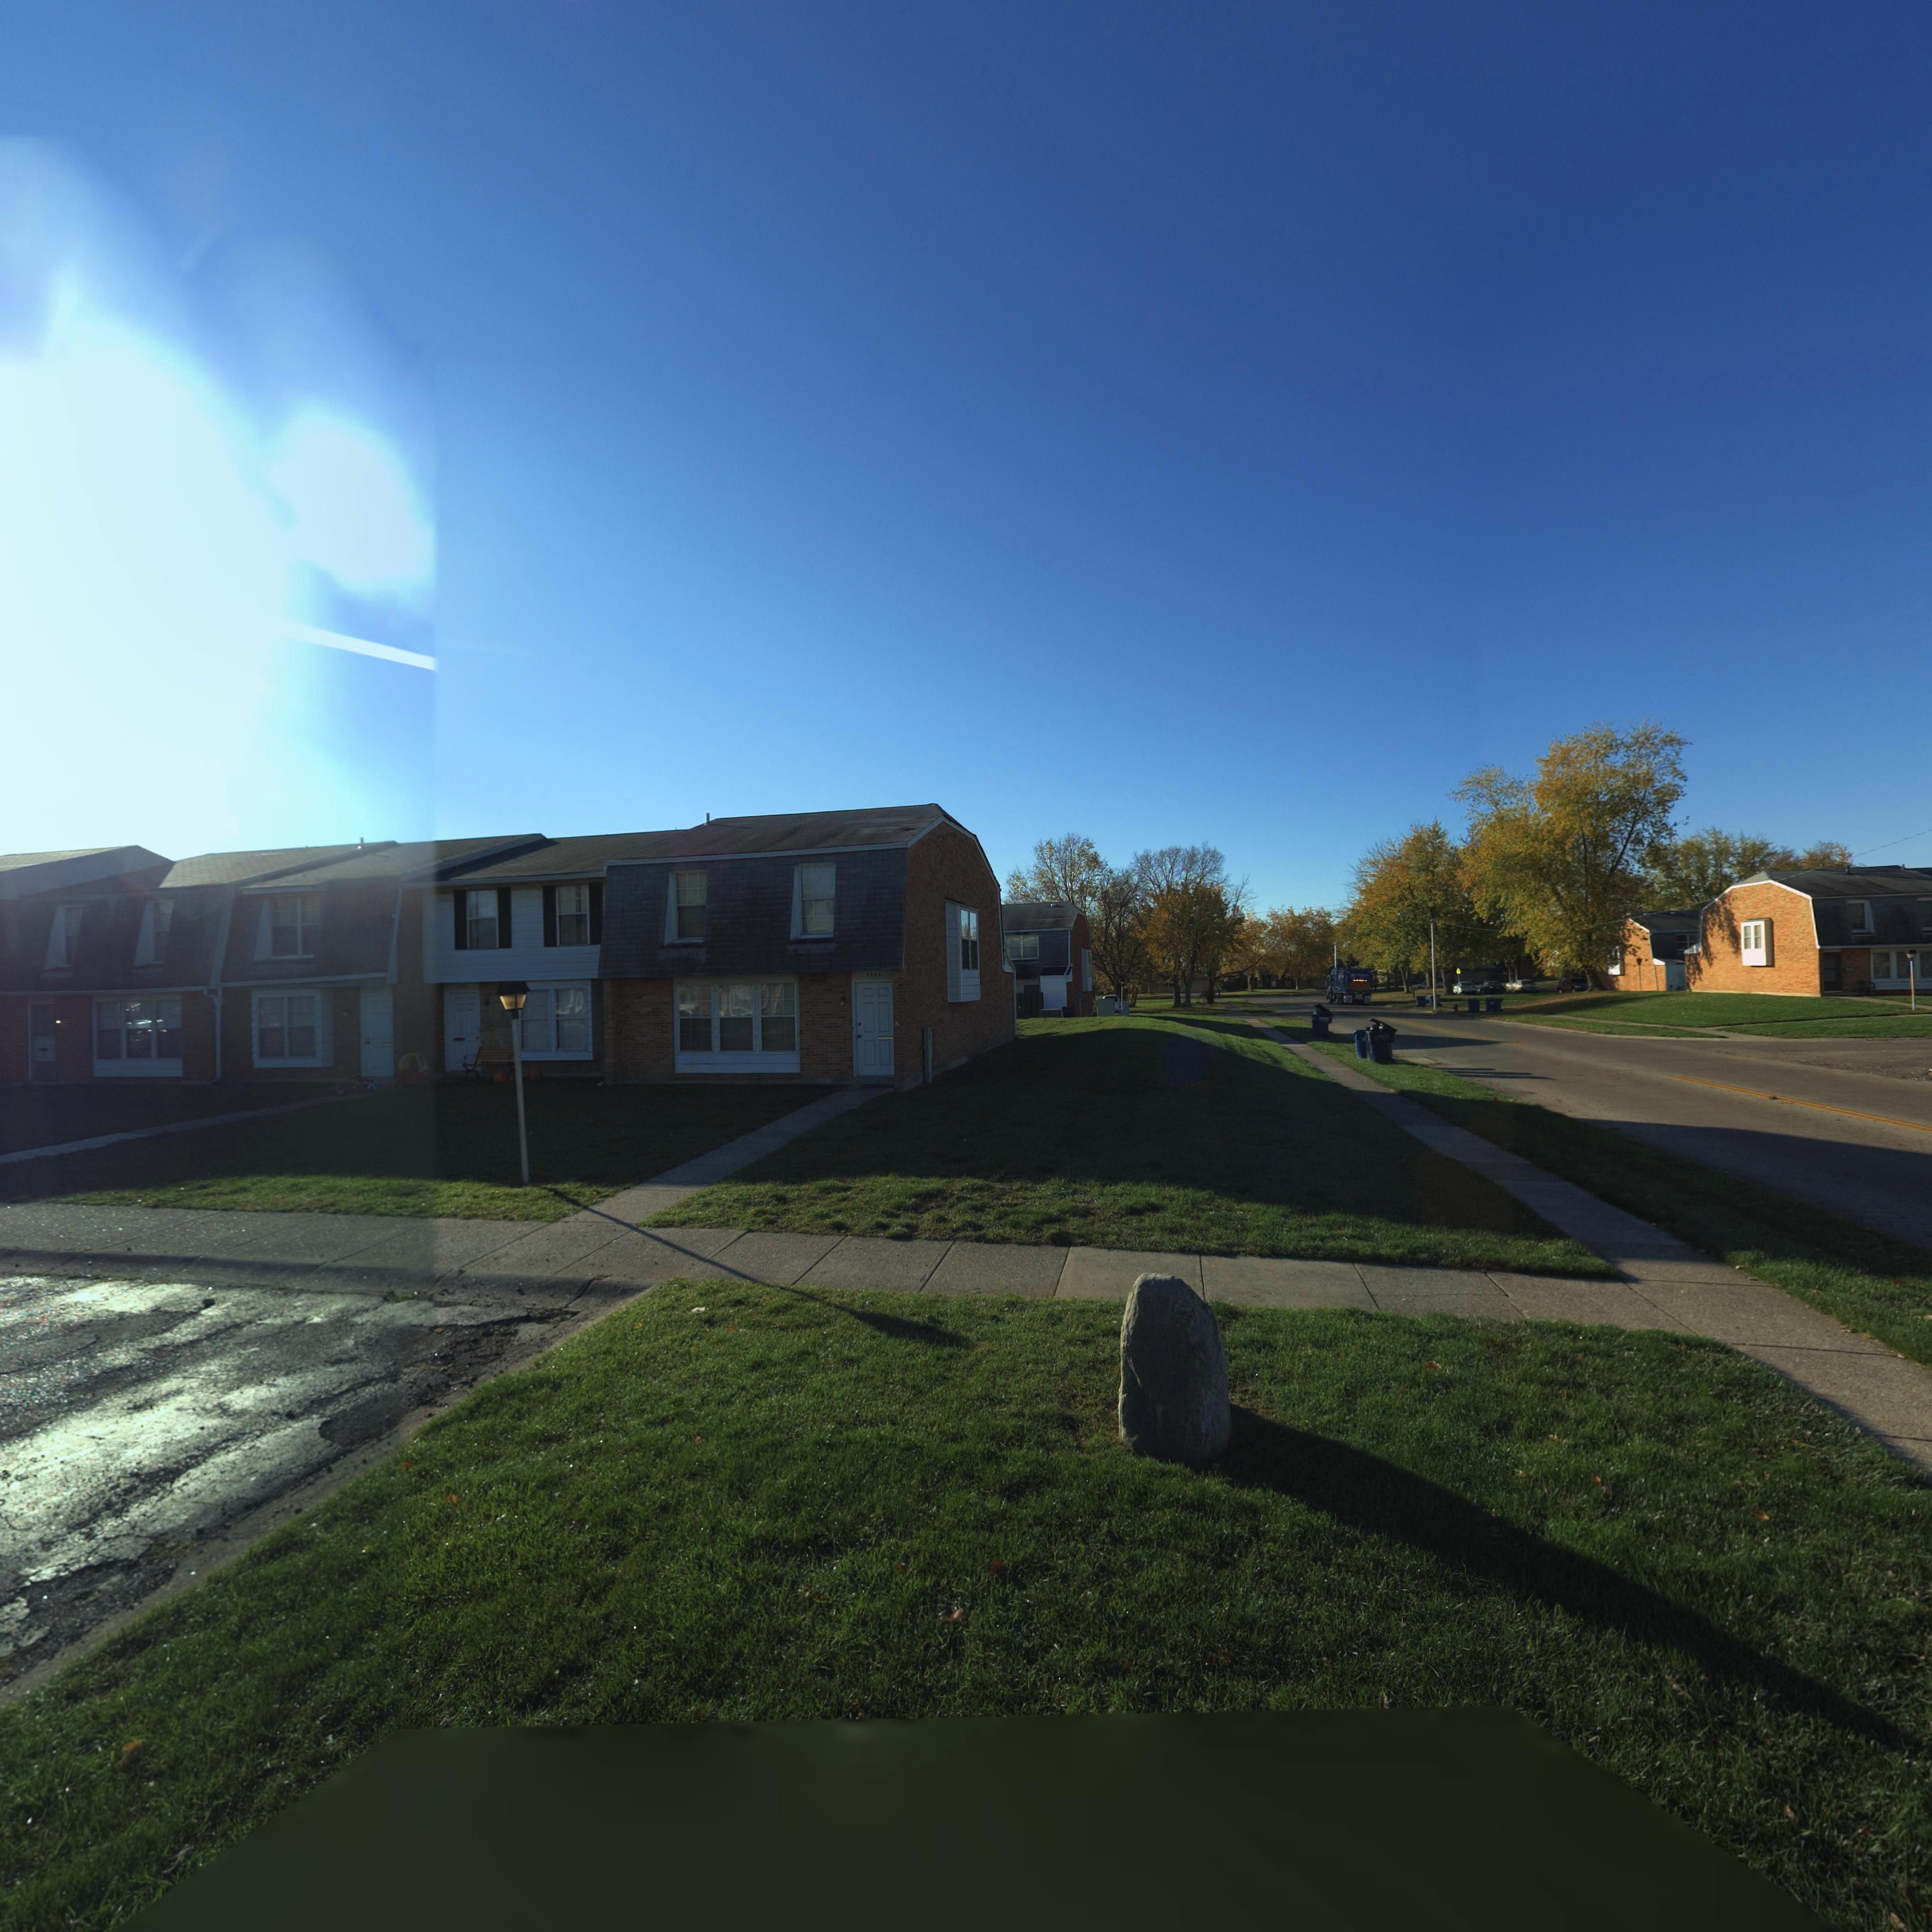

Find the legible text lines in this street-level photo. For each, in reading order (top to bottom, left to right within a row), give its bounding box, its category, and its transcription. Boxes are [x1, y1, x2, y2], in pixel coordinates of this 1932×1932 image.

[866, 972, 881, 977] StreetNumber: 7582